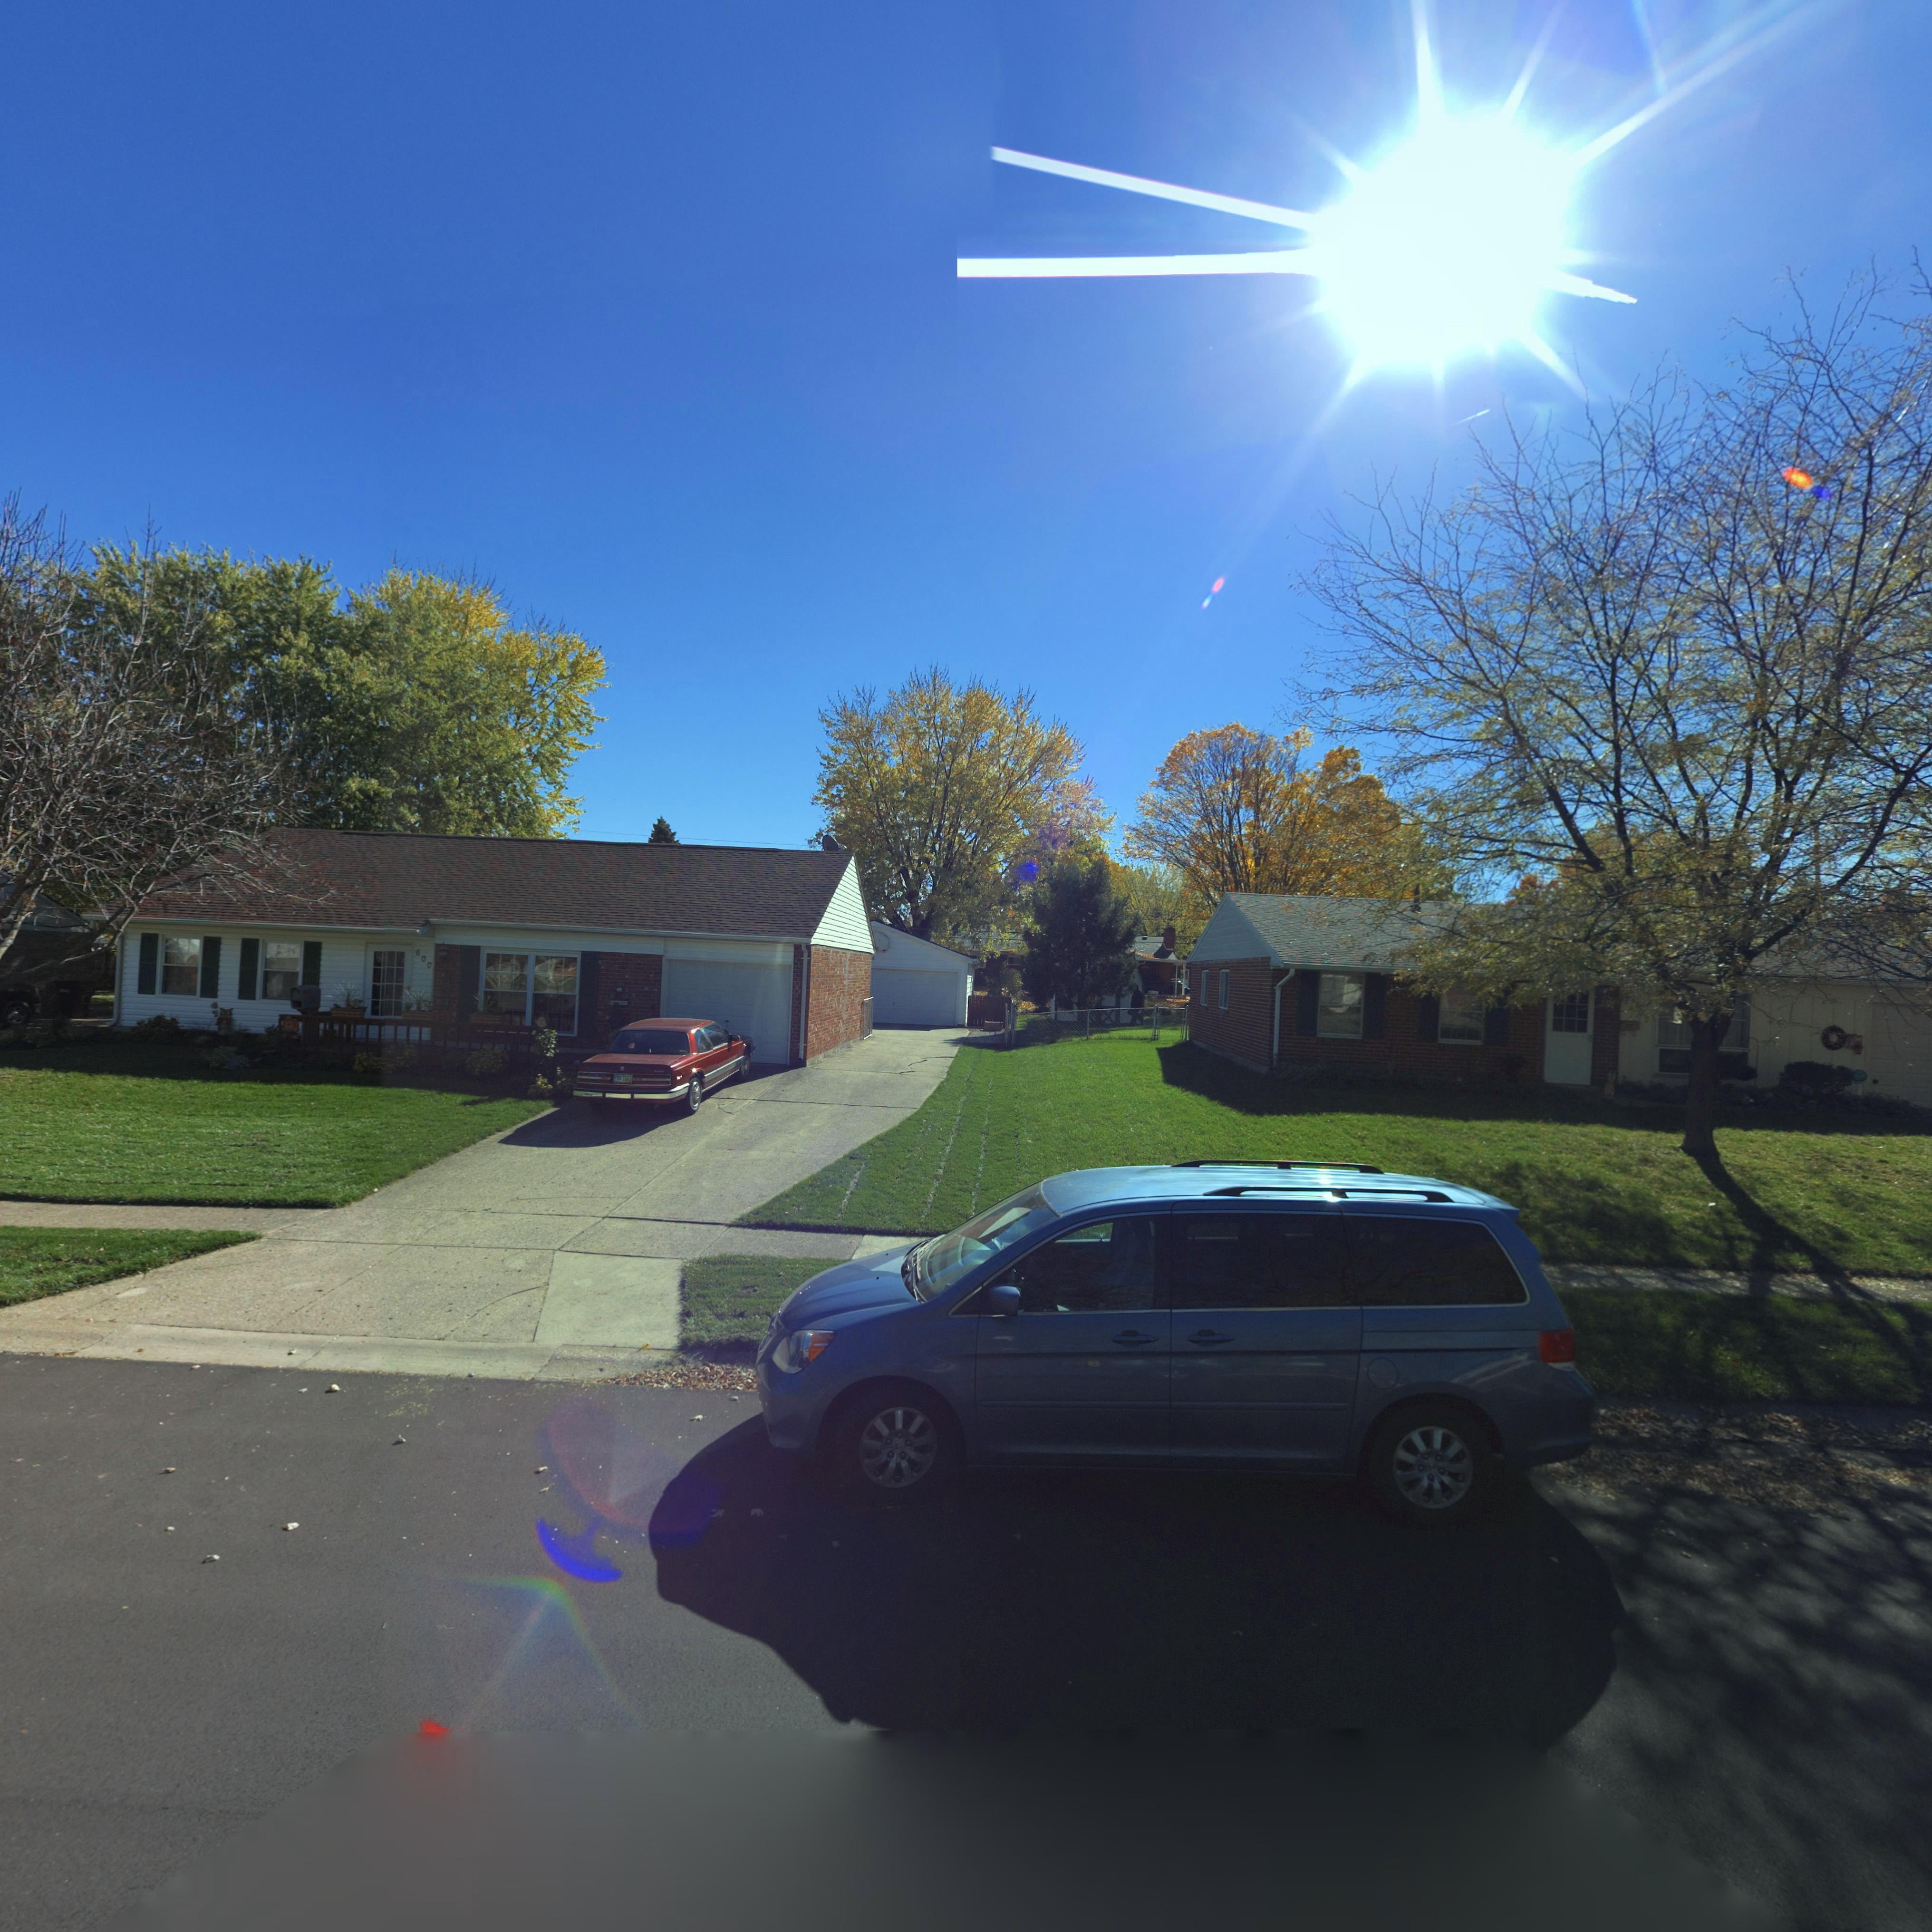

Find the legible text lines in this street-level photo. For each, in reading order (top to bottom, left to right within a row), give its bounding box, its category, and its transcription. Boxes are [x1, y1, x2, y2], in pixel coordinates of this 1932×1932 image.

[415, 949, 432, 969] StreetNumber: 600
[1638, 1008, 1650, 1024] StreetNumber: 08